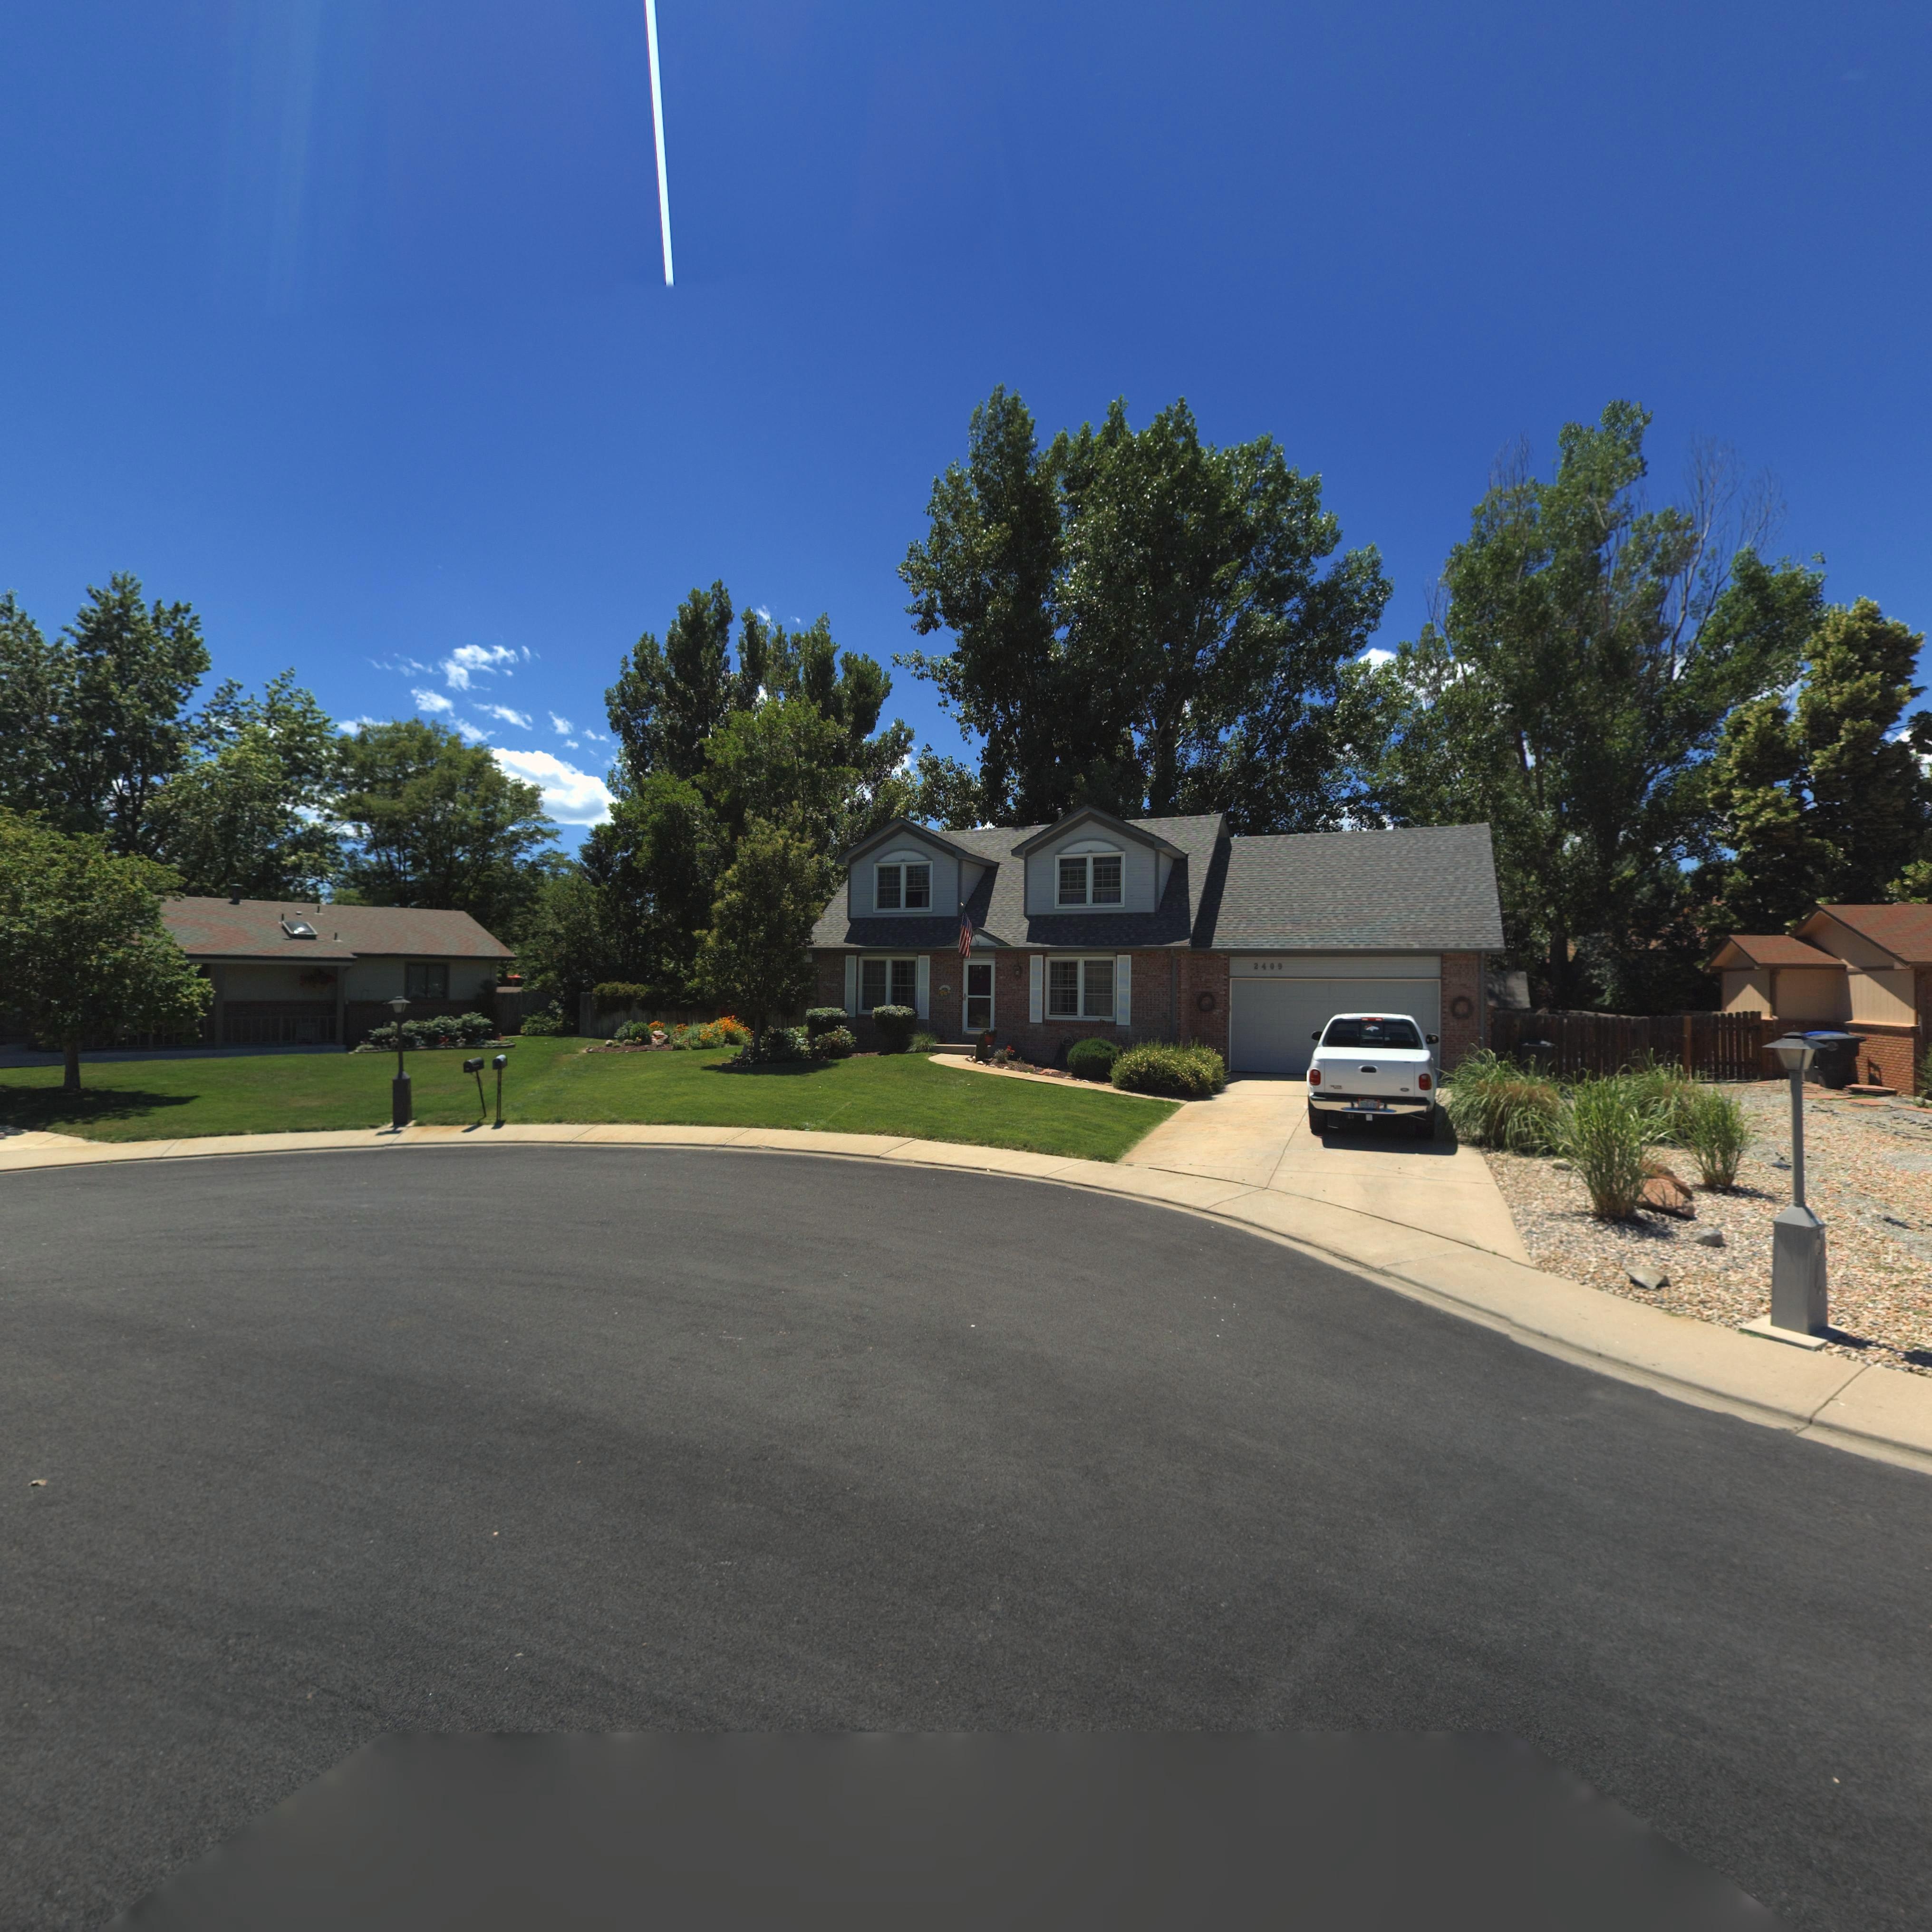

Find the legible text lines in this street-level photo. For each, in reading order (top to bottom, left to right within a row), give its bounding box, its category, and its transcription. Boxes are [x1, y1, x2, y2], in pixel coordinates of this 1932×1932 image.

[1253, 963, 1282, 969] StreetNumber: 2409